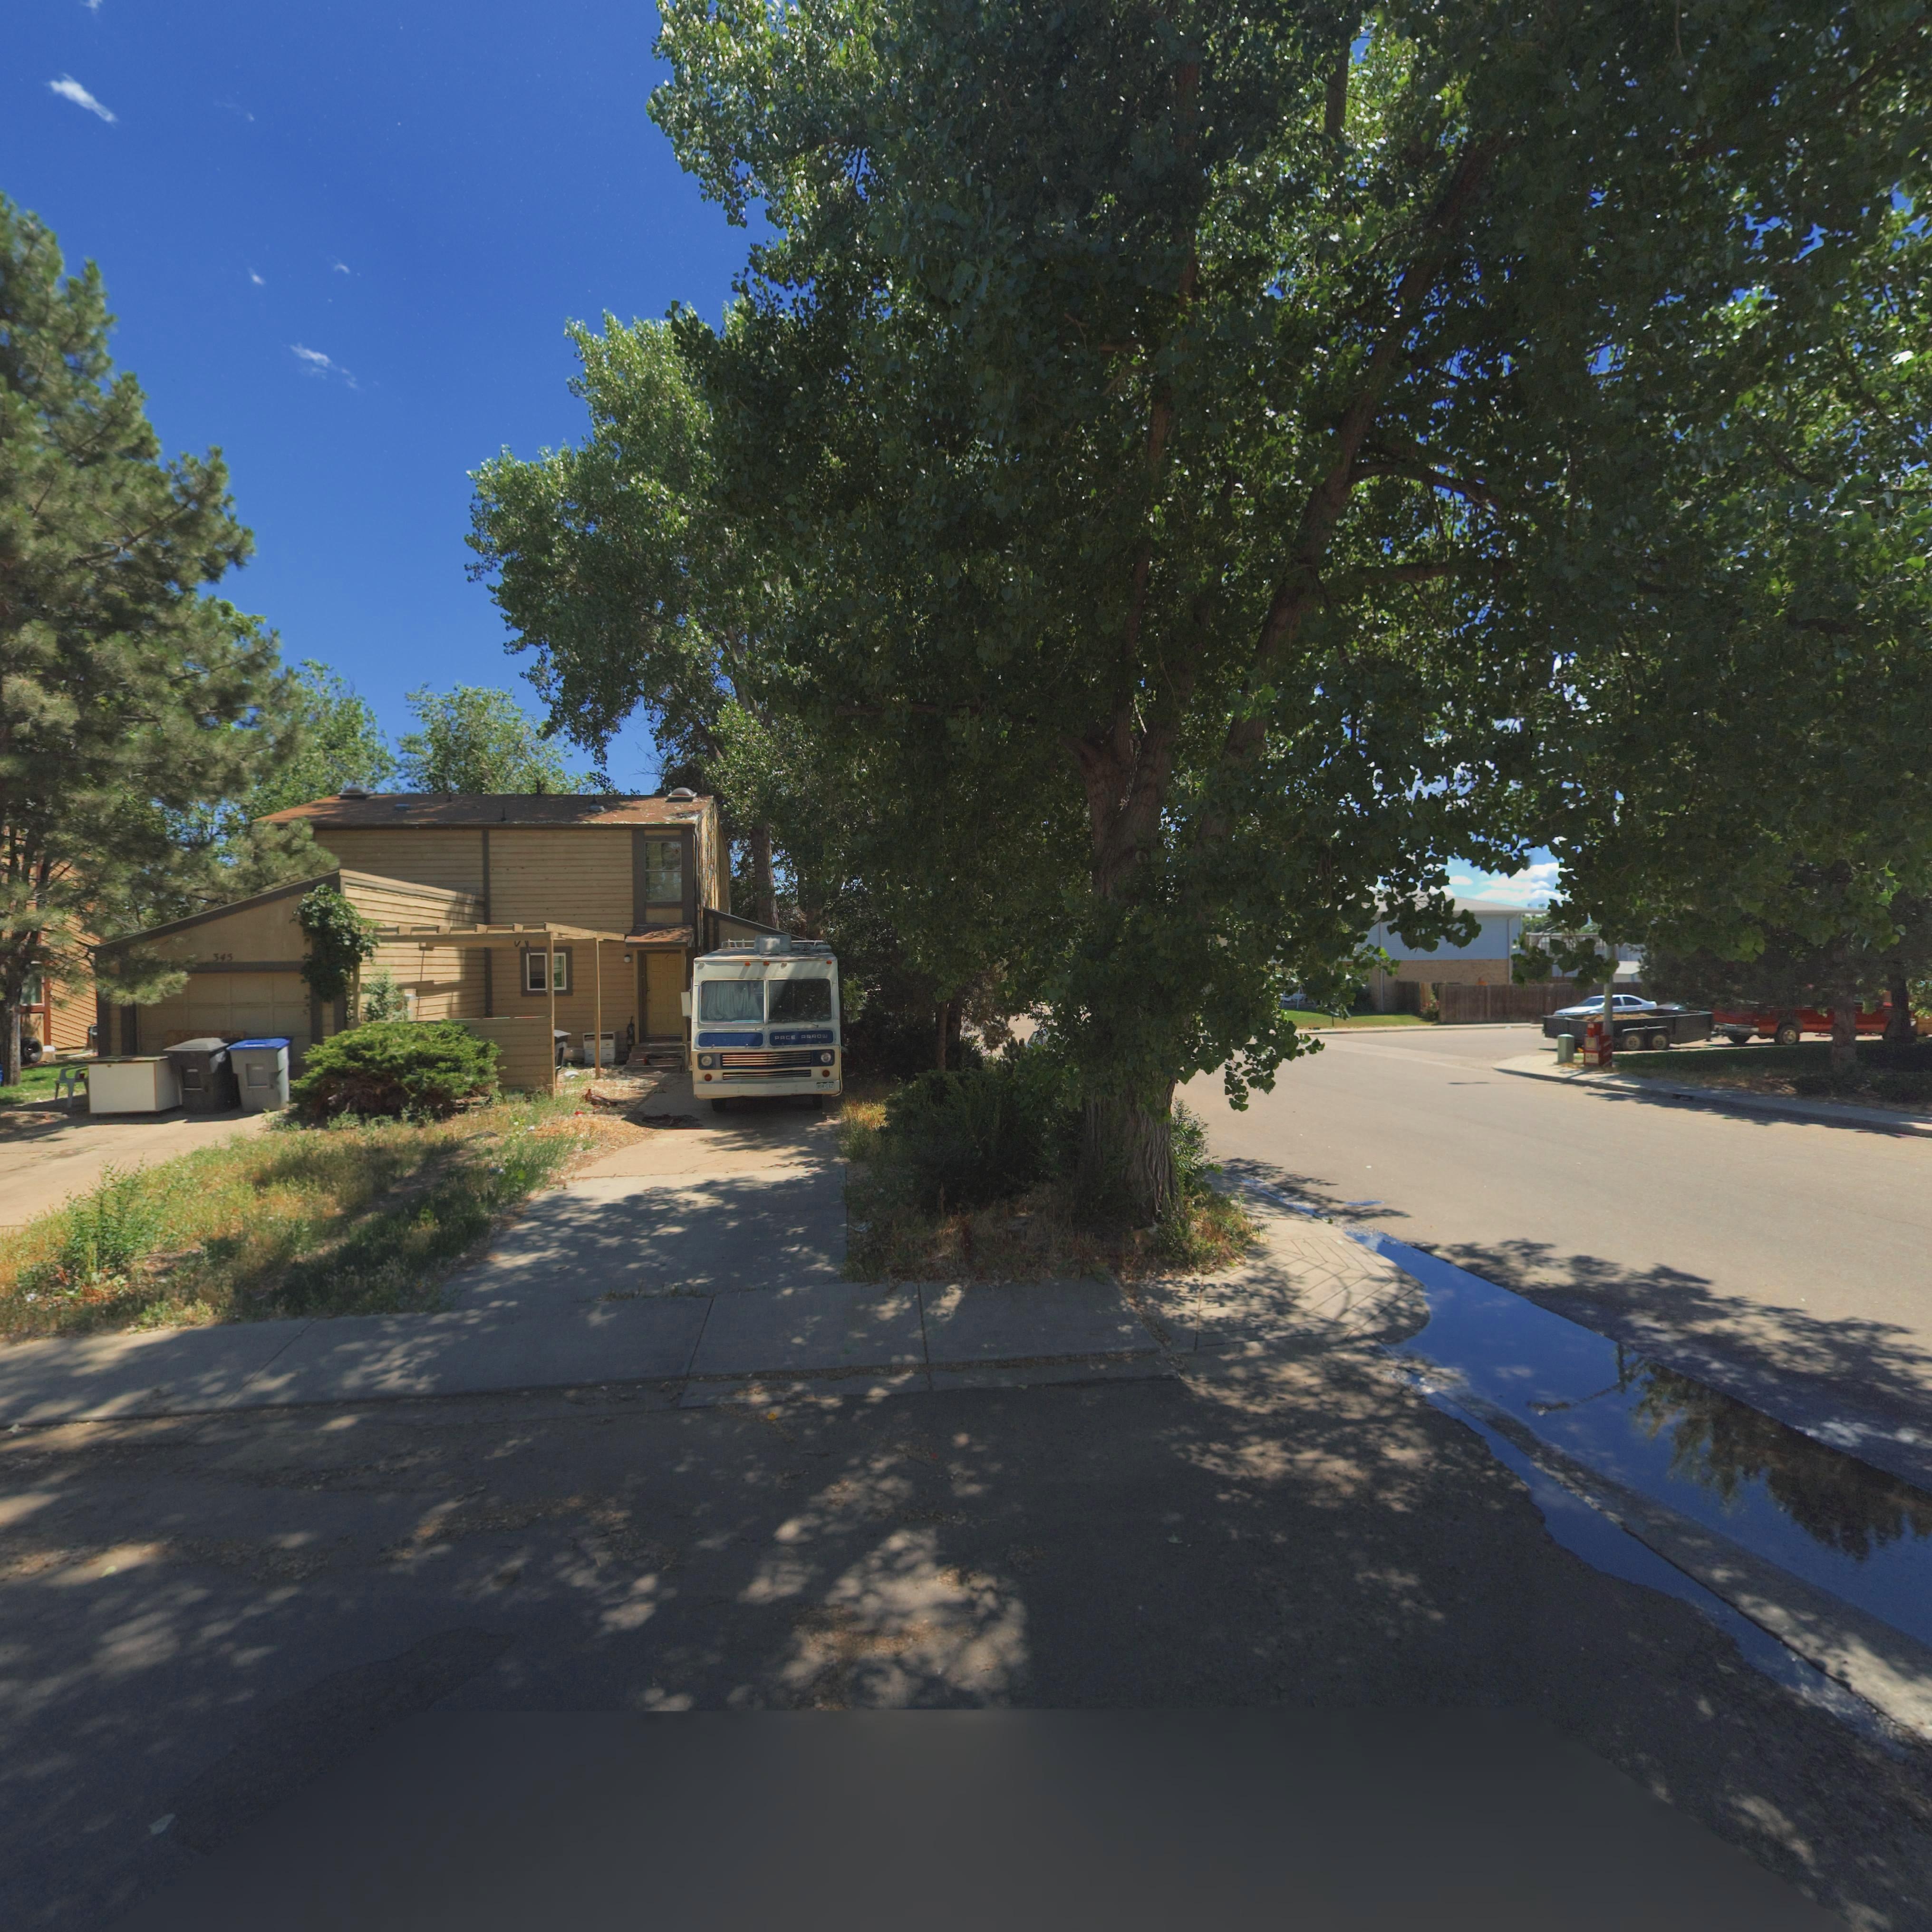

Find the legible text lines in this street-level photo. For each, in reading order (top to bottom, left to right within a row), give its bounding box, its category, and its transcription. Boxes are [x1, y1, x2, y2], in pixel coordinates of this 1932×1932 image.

[212, 953, 232, 962] StreetNumber: 345